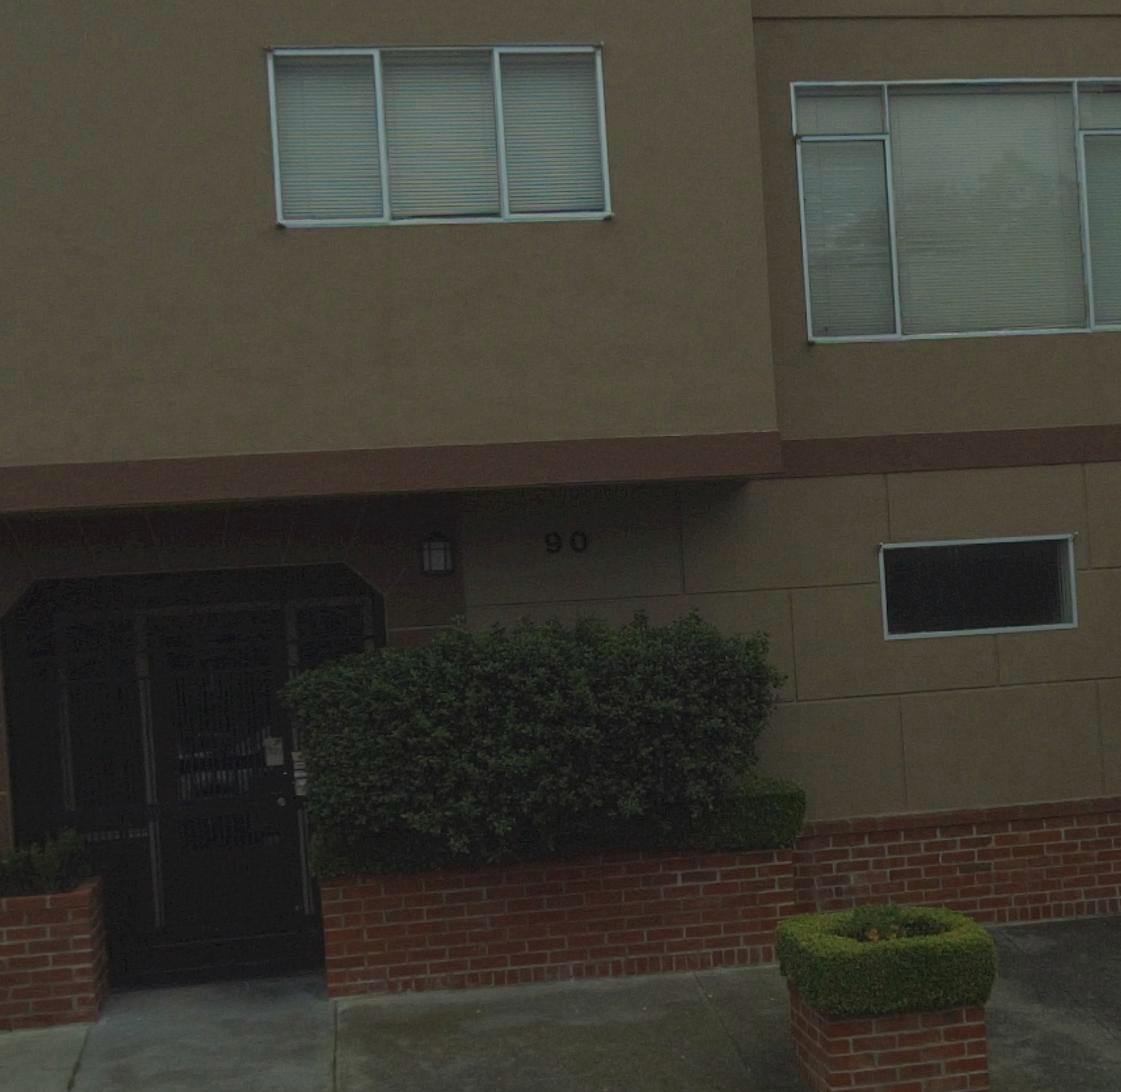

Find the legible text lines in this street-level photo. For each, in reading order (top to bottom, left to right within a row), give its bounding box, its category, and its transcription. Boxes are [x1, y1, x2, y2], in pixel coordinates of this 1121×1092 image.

[543, 529, 590, 556] StreetNumber: 90